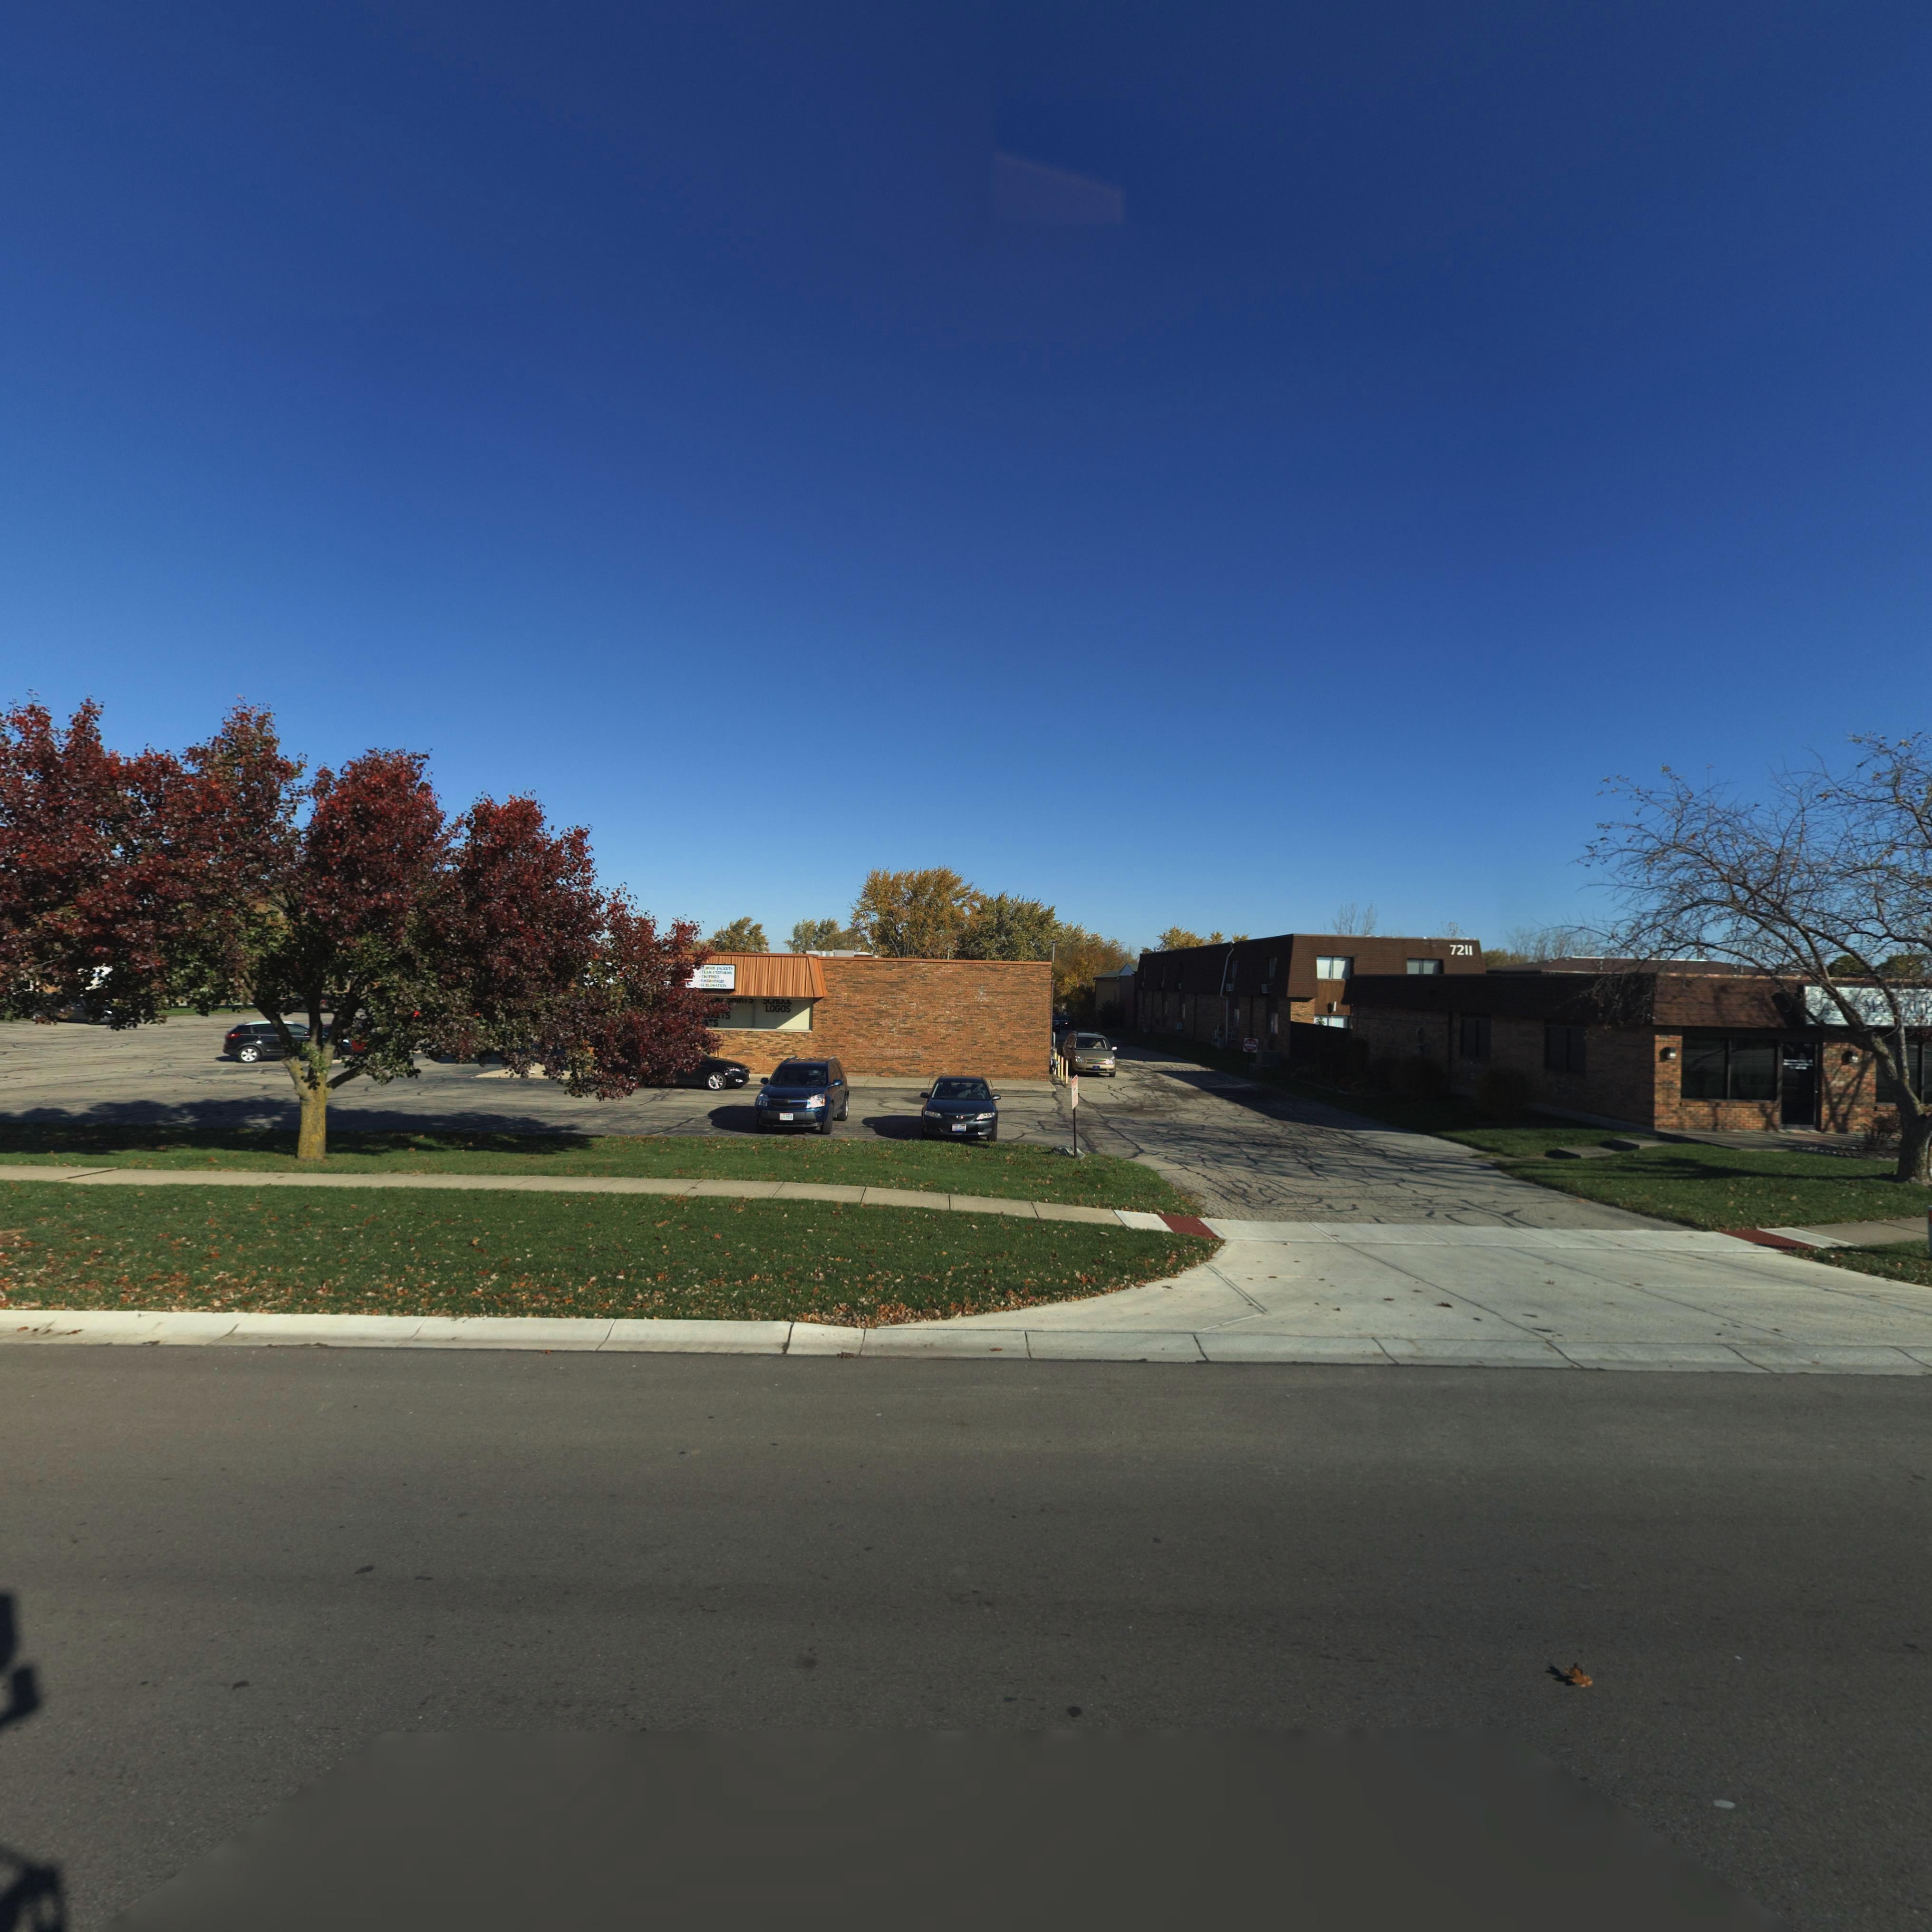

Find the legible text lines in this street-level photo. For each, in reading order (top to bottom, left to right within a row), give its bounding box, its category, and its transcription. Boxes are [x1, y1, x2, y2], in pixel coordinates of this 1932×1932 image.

[1448, 943, 1474, 957] StreetNumber: 7211